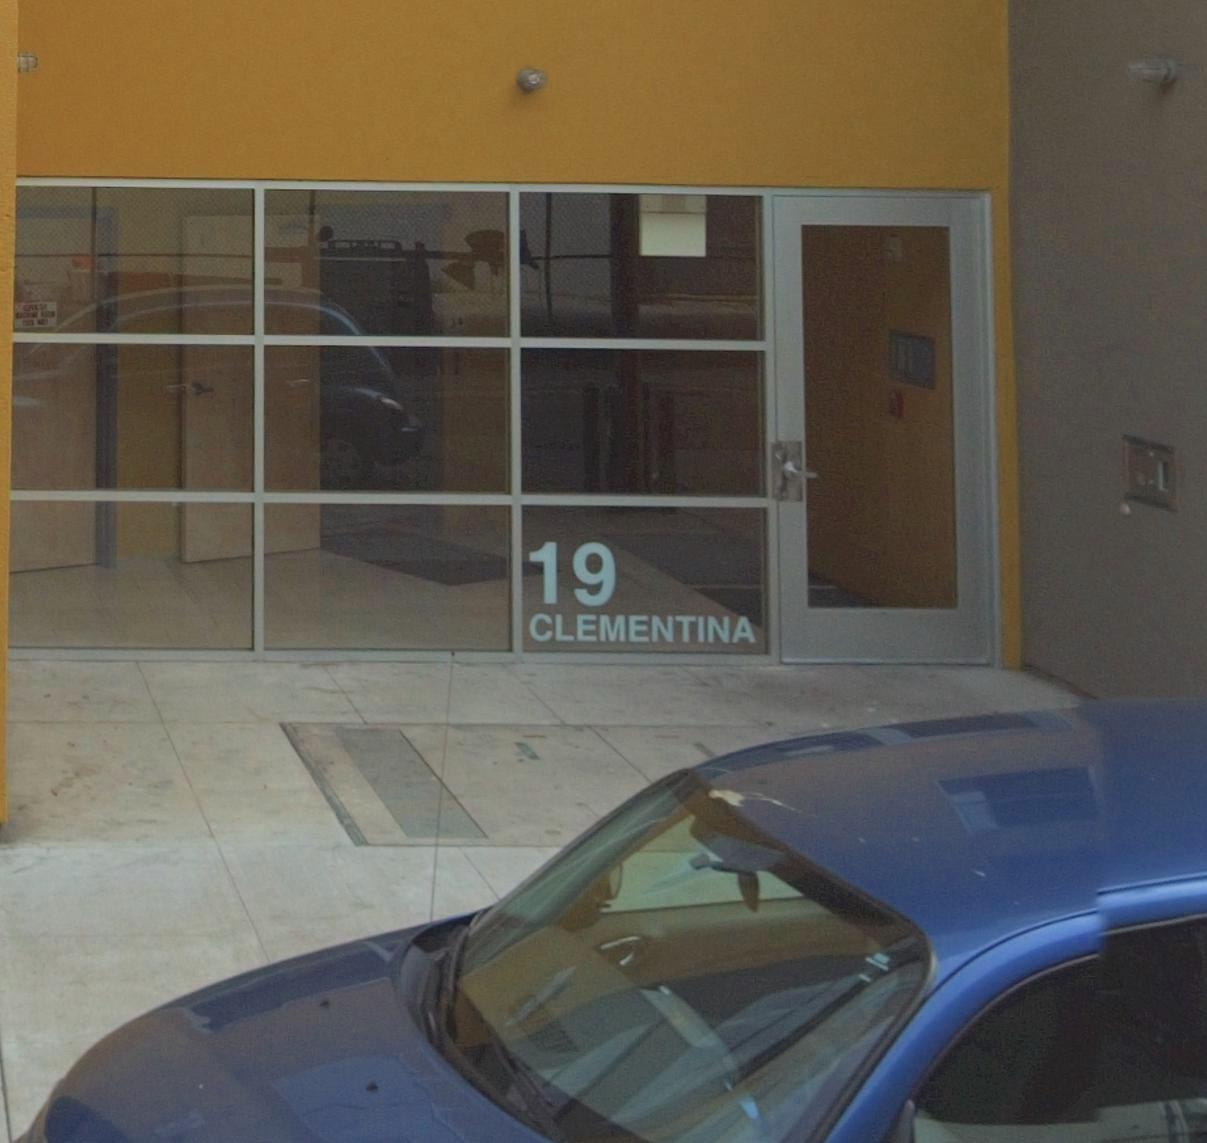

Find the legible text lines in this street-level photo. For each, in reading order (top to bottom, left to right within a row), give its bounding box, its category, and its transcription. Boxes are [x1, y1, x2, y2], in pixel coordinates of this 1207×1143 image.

[524, 540, 621, 610] StreetNumber: 19
[526, 609, 762, 647] StreetName: CLEMENTINA